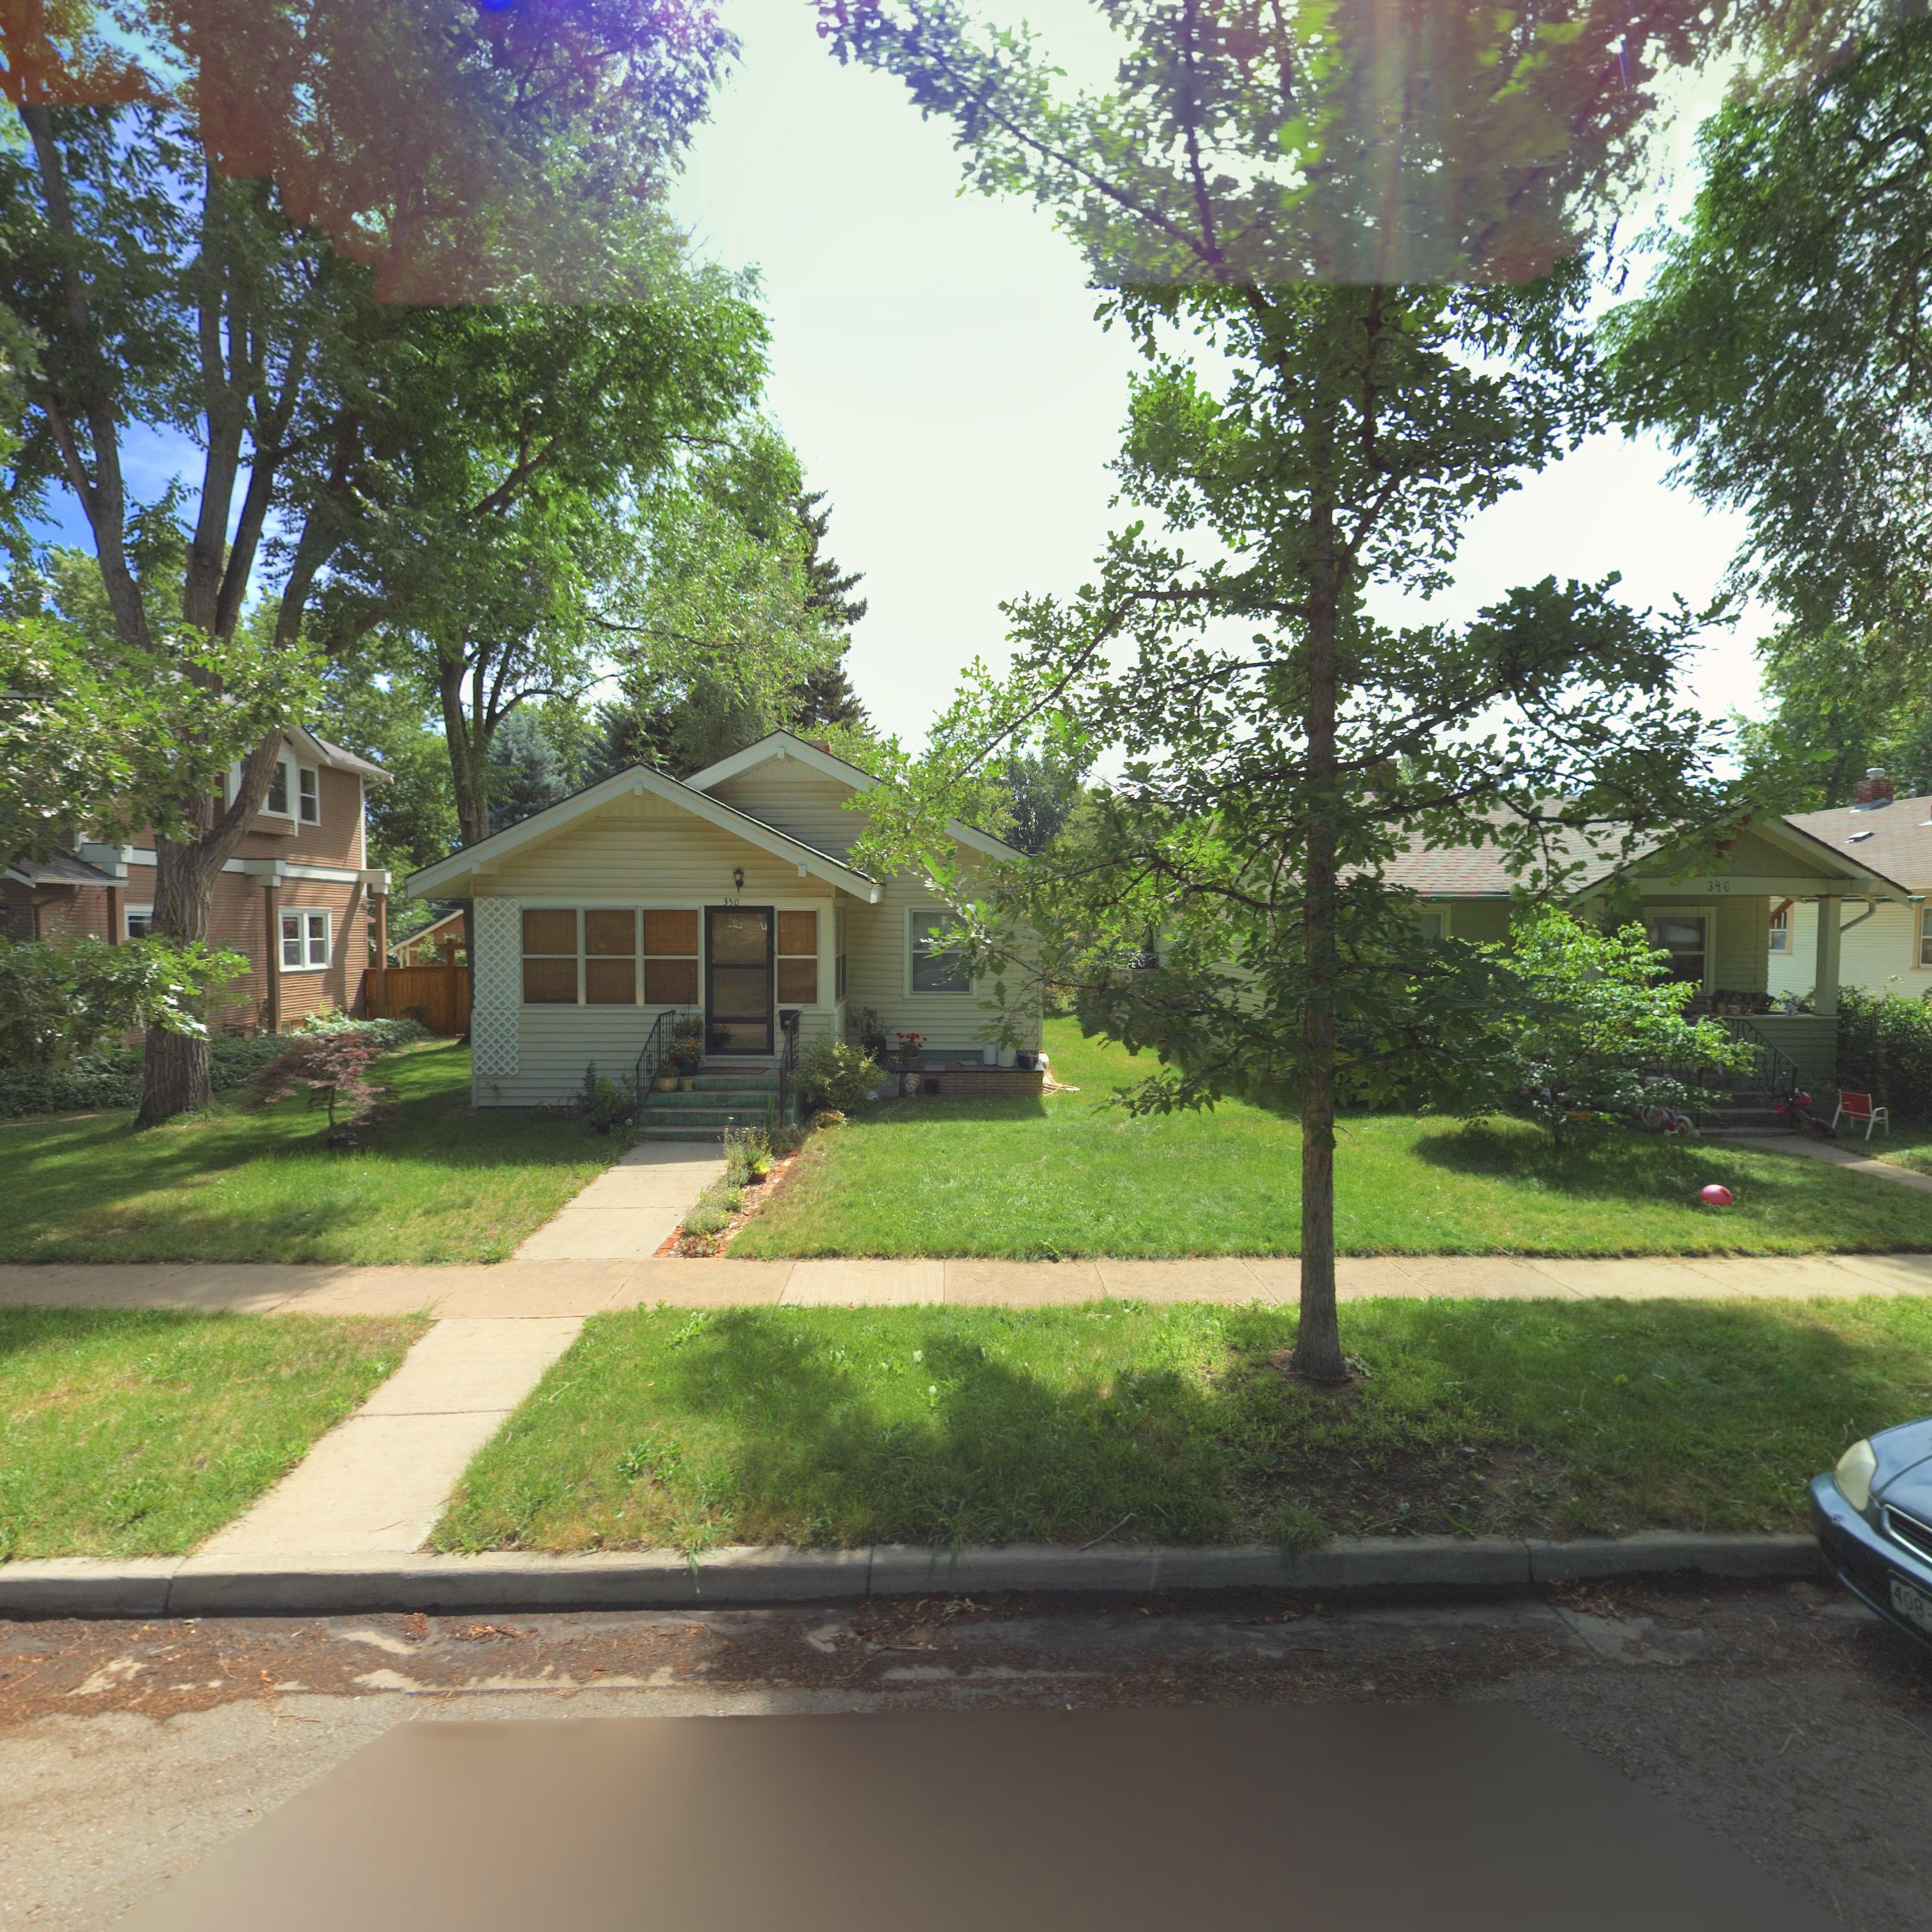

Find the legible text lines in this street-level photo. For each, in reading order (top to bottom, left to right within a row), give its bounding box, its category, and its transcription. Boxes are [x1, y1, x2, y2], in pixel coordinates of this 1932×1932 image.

[1707, 880, 1730, 891] StreetNumber: 346
[723, 898, 740, 906] StreetNumber: 350